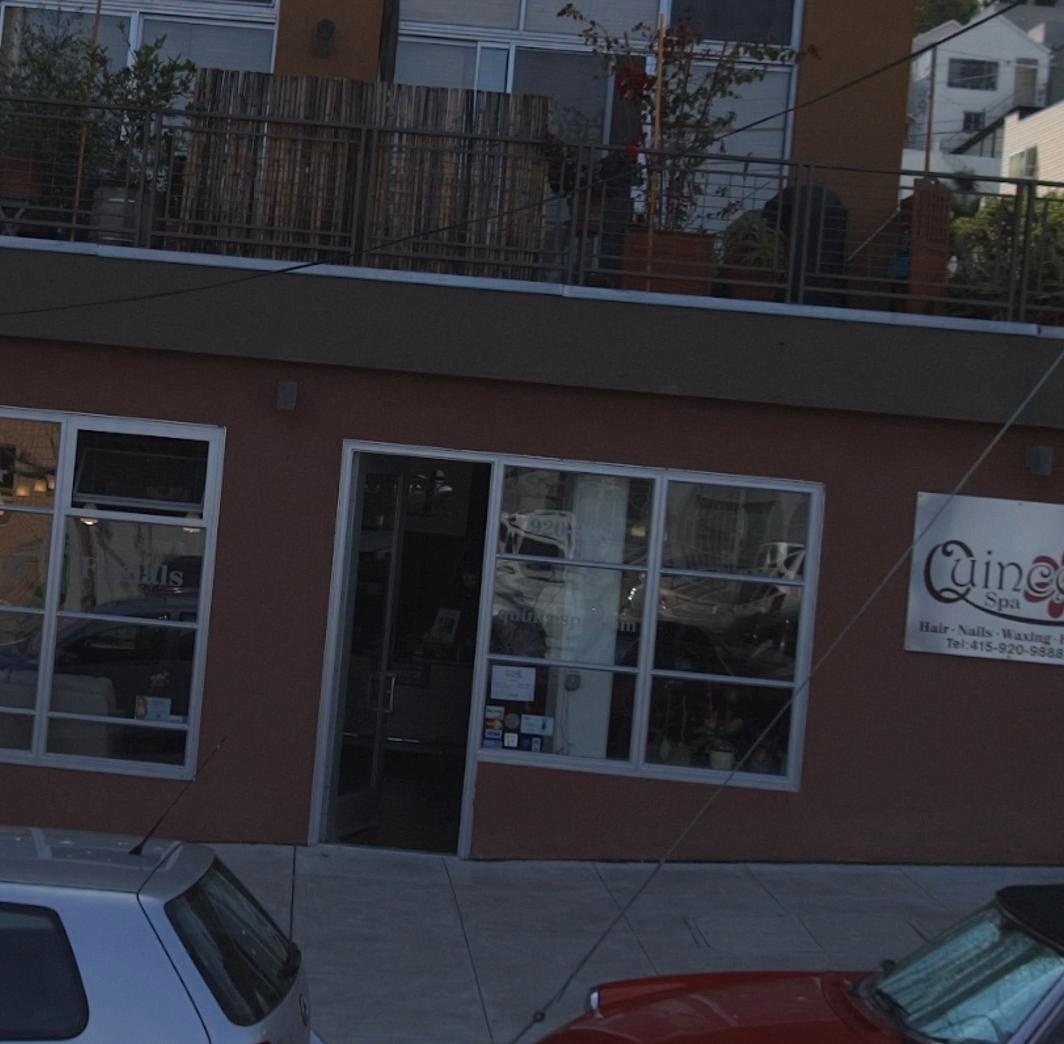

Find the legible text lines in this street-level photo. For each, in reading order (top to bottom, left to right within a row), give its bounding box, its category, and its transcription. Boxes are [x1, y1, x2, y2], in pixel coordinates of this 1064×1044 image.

[528, 516, 568, 540] StreetNumber: 920
[78, 555, 186, 590] None: F**als
[922, 538, 1057, 607] BusinessName: *uinc
[982, 590, 1023, 612] BusinessName: Spa
[496, 607, 582, 633] None: quin**sp
[619, 619, 638, 634] None: m
[917, 619, 1055, 647] None: Hair*Nails*Waxing
[945, 637, 1064, 663] None: Tel:415-920-9888